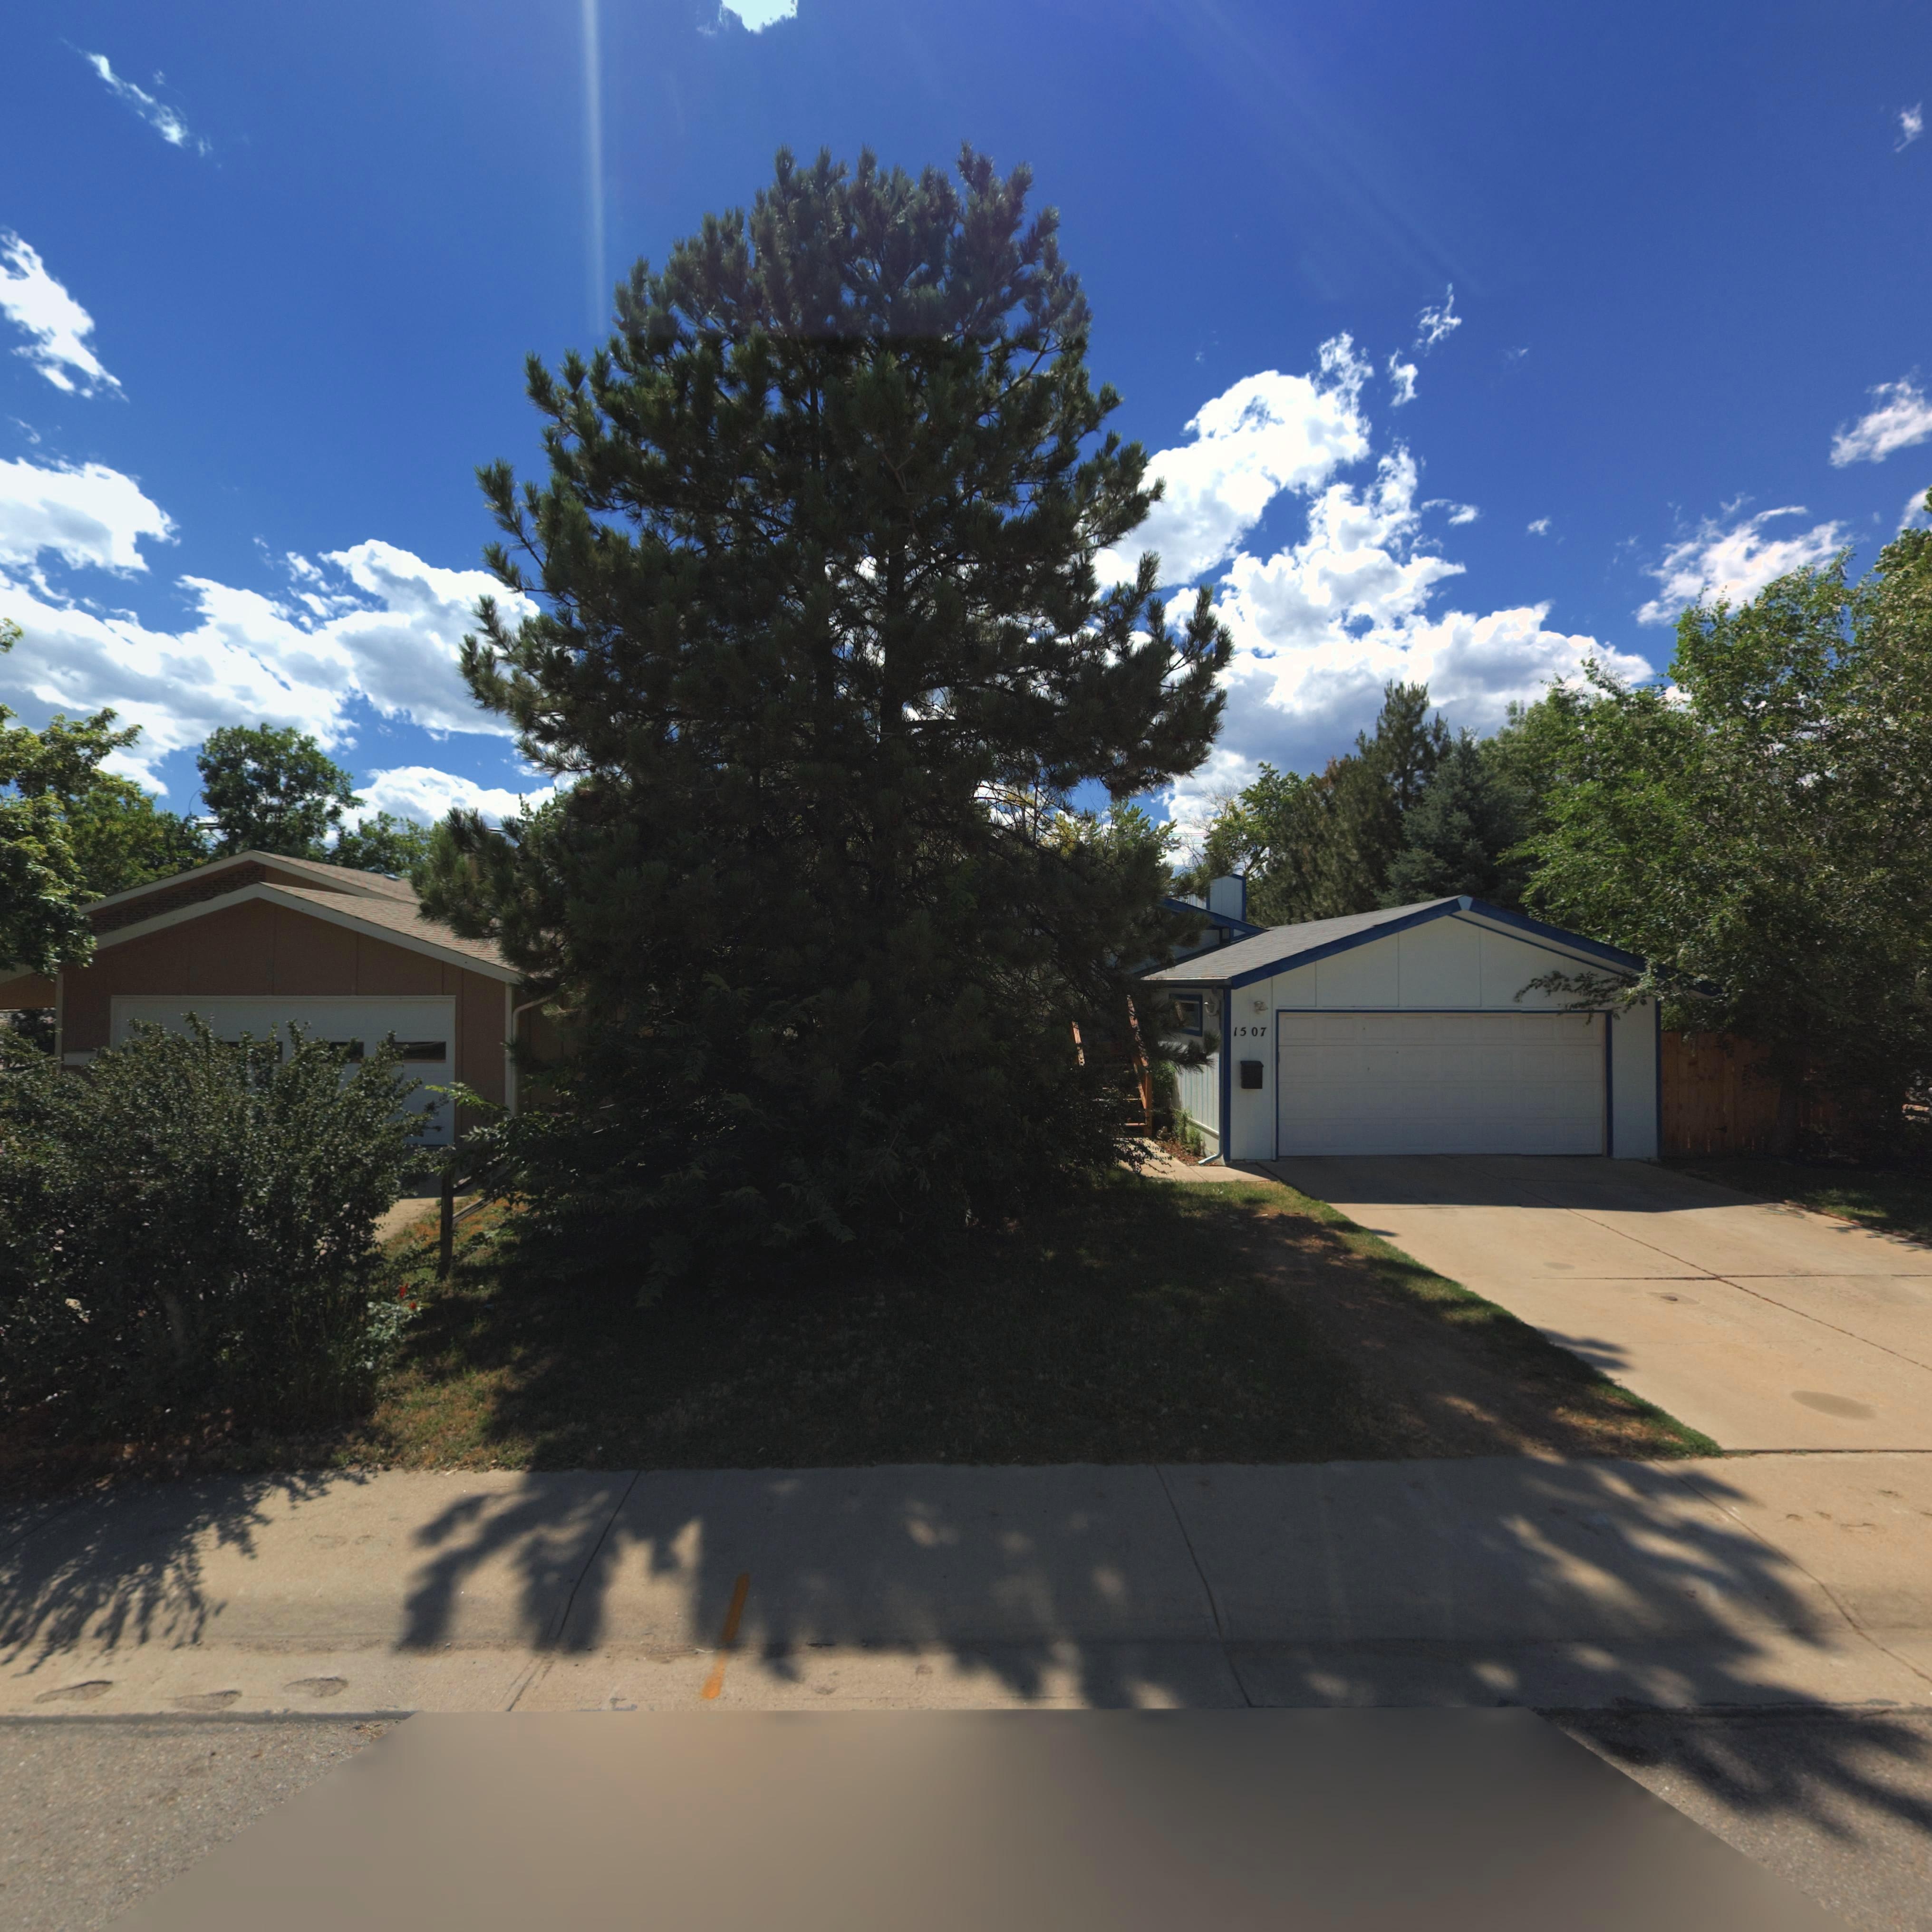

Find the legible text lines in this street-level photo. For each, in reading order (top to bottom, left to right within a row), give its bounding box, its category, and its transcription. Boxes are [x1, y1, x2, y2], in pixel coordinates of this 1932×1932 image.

[1233, 1026, 1267, 1037] StreetNumber: 1507